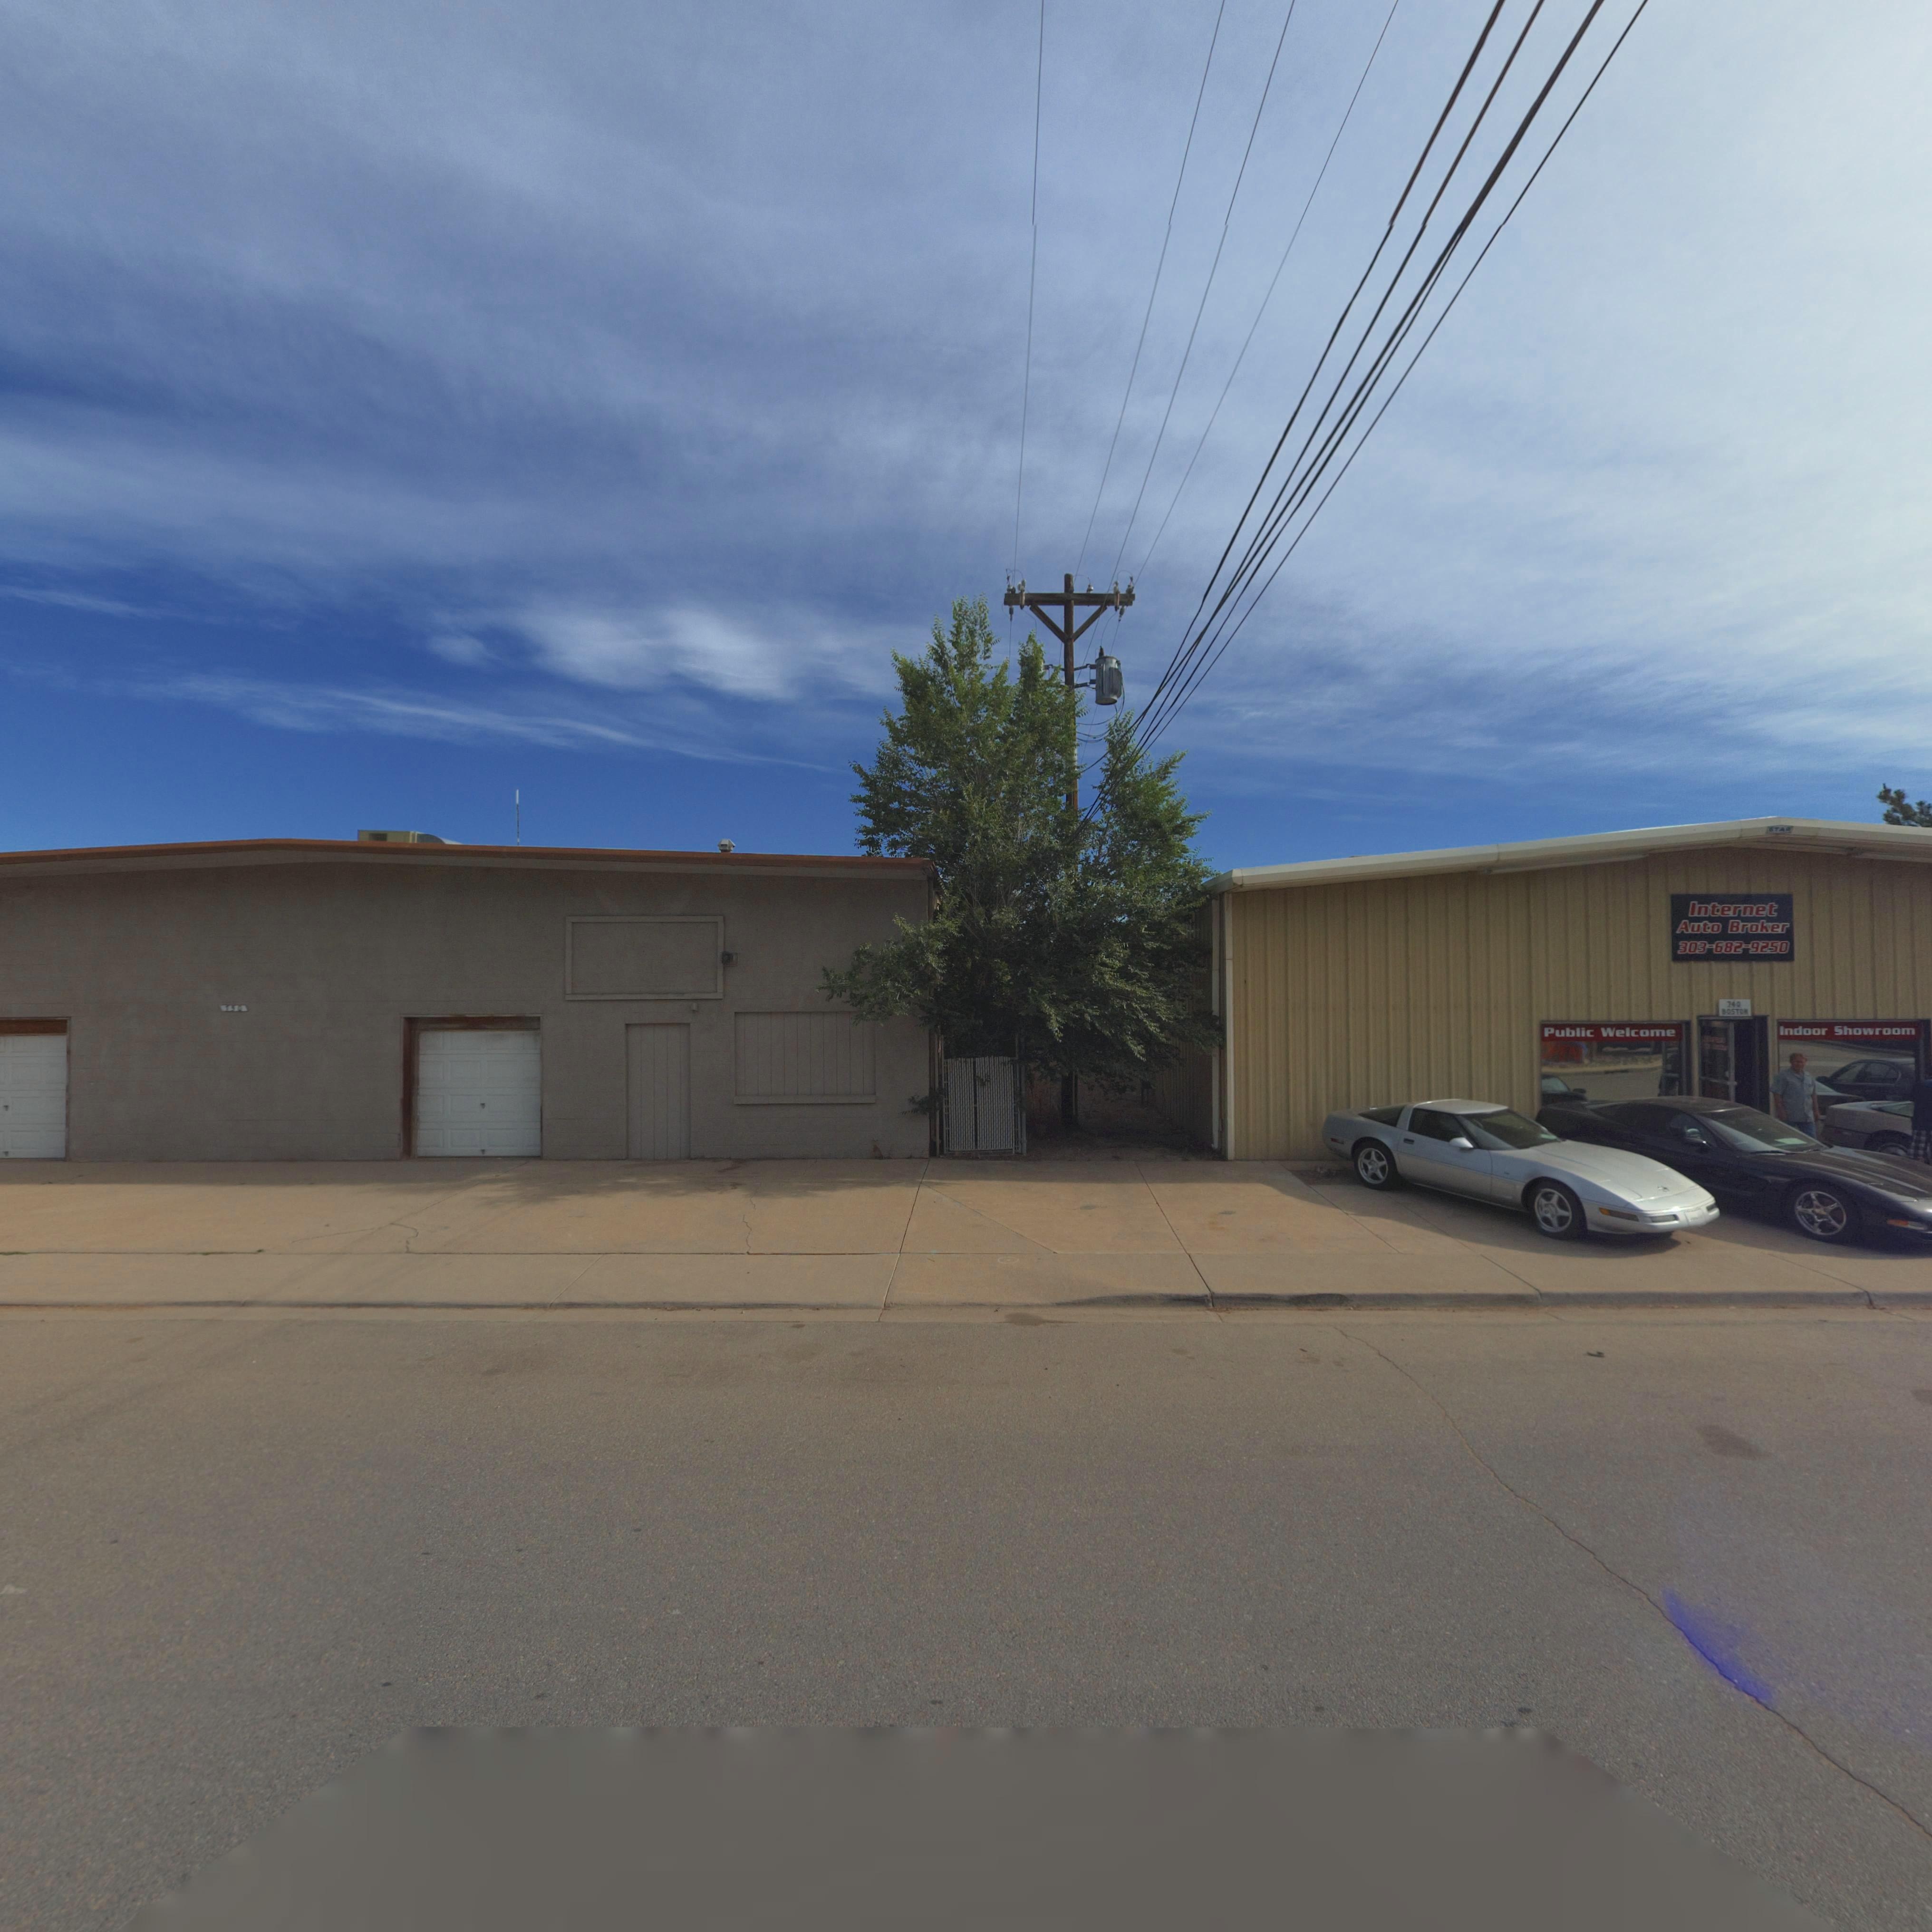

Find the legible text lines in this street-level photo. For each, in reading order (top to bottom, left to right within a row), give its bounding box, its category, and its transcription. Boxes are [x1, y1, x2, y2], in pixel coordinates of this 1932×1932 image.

[1689, 901, 1777, 916] BusinessName: internet
[1675, 919, 1789, 933] BusinessName: Auto Broker
[1726, 1001, 1740, 1007] StreetNumber: 740
[225, 1005, 242, 1011] StreetNumber: 150
[1722, 1008, 1748, 1014] StreetName: BOSTON